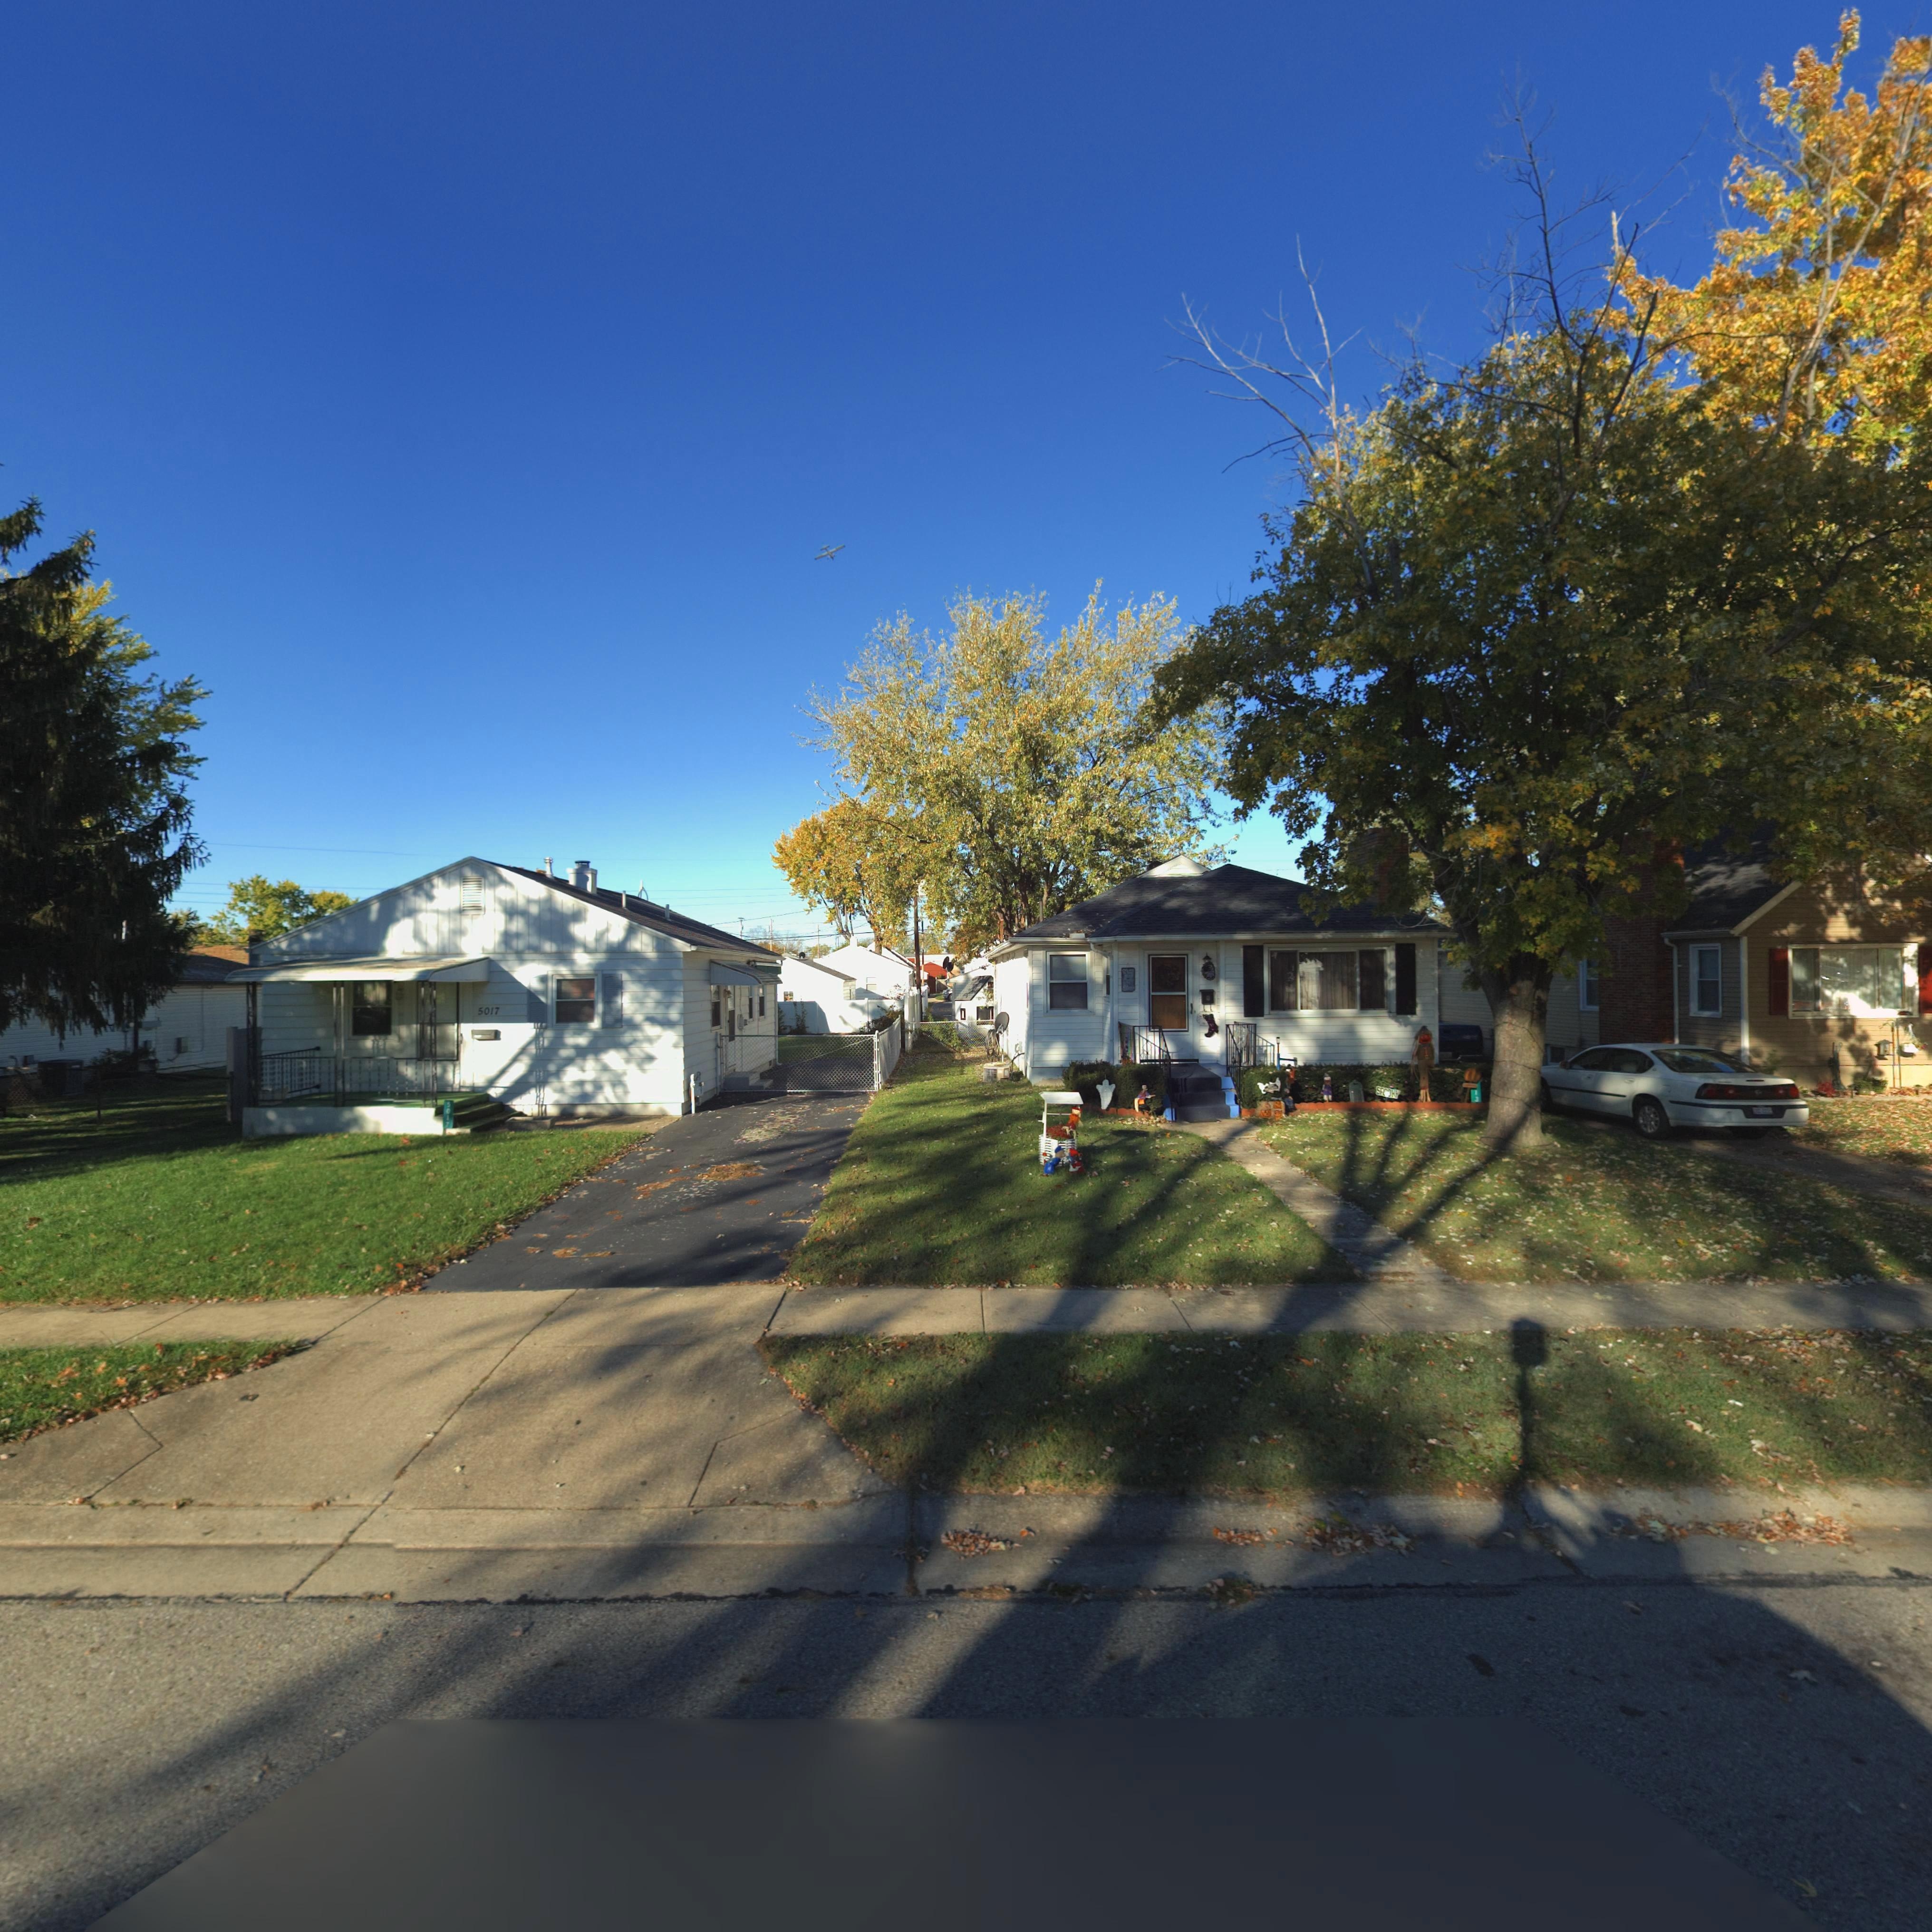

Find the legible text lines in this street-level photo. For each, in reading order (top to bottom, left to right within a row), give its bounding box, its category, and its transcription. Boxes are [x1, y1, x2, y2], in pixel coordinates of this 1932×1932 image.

[477, 1006, 501, 1015] StreetNumber: 5017
[1474, 1089, 1479, 1102] StreetNumber: 13
[444, 1101, 452, 1128] StreetNumber: 5017